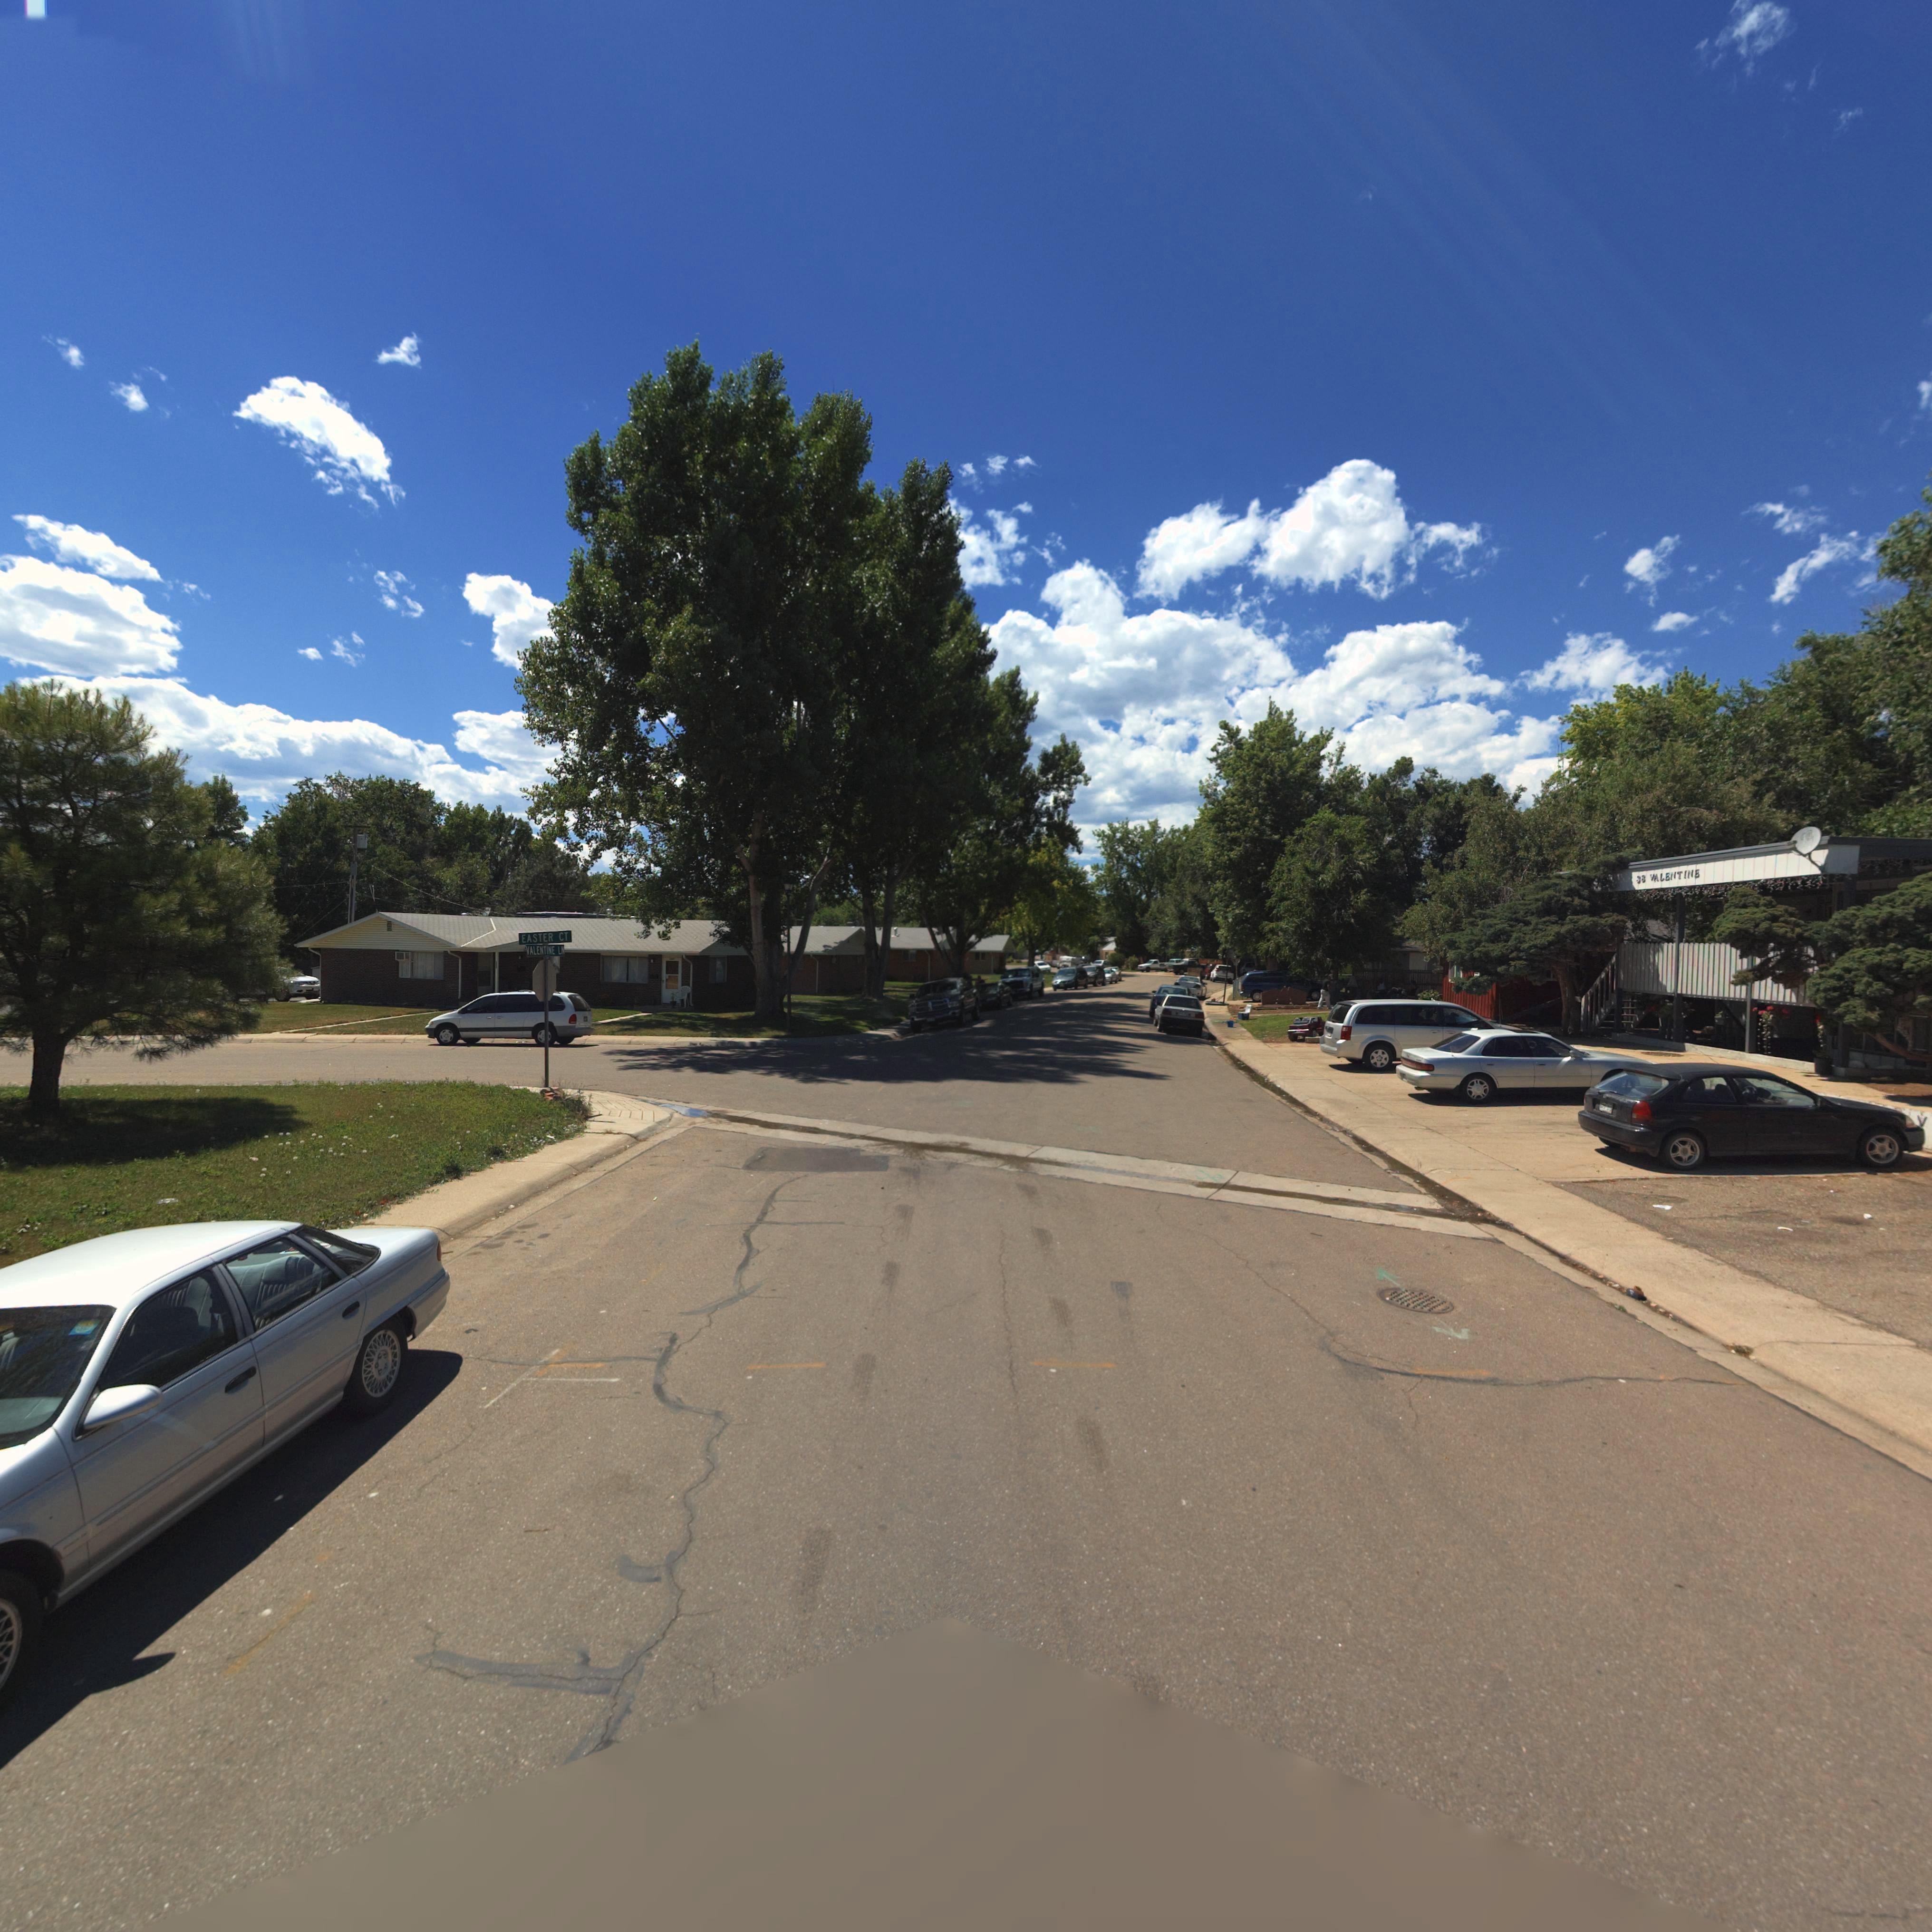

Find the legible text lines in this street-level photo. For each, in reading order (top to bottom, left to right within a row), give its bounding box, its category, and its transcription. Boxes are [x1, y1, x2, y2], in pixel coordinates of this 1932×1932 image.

[1635, 874, 1645, 883] StreetNumber: 38
[1649, 868, 1700, 882] StreetName: VALENTINE
[522, 932, 568, 943] StreetName: EASTER CT
[525, 946, 565, 955] StreetName: VALENTINE LN